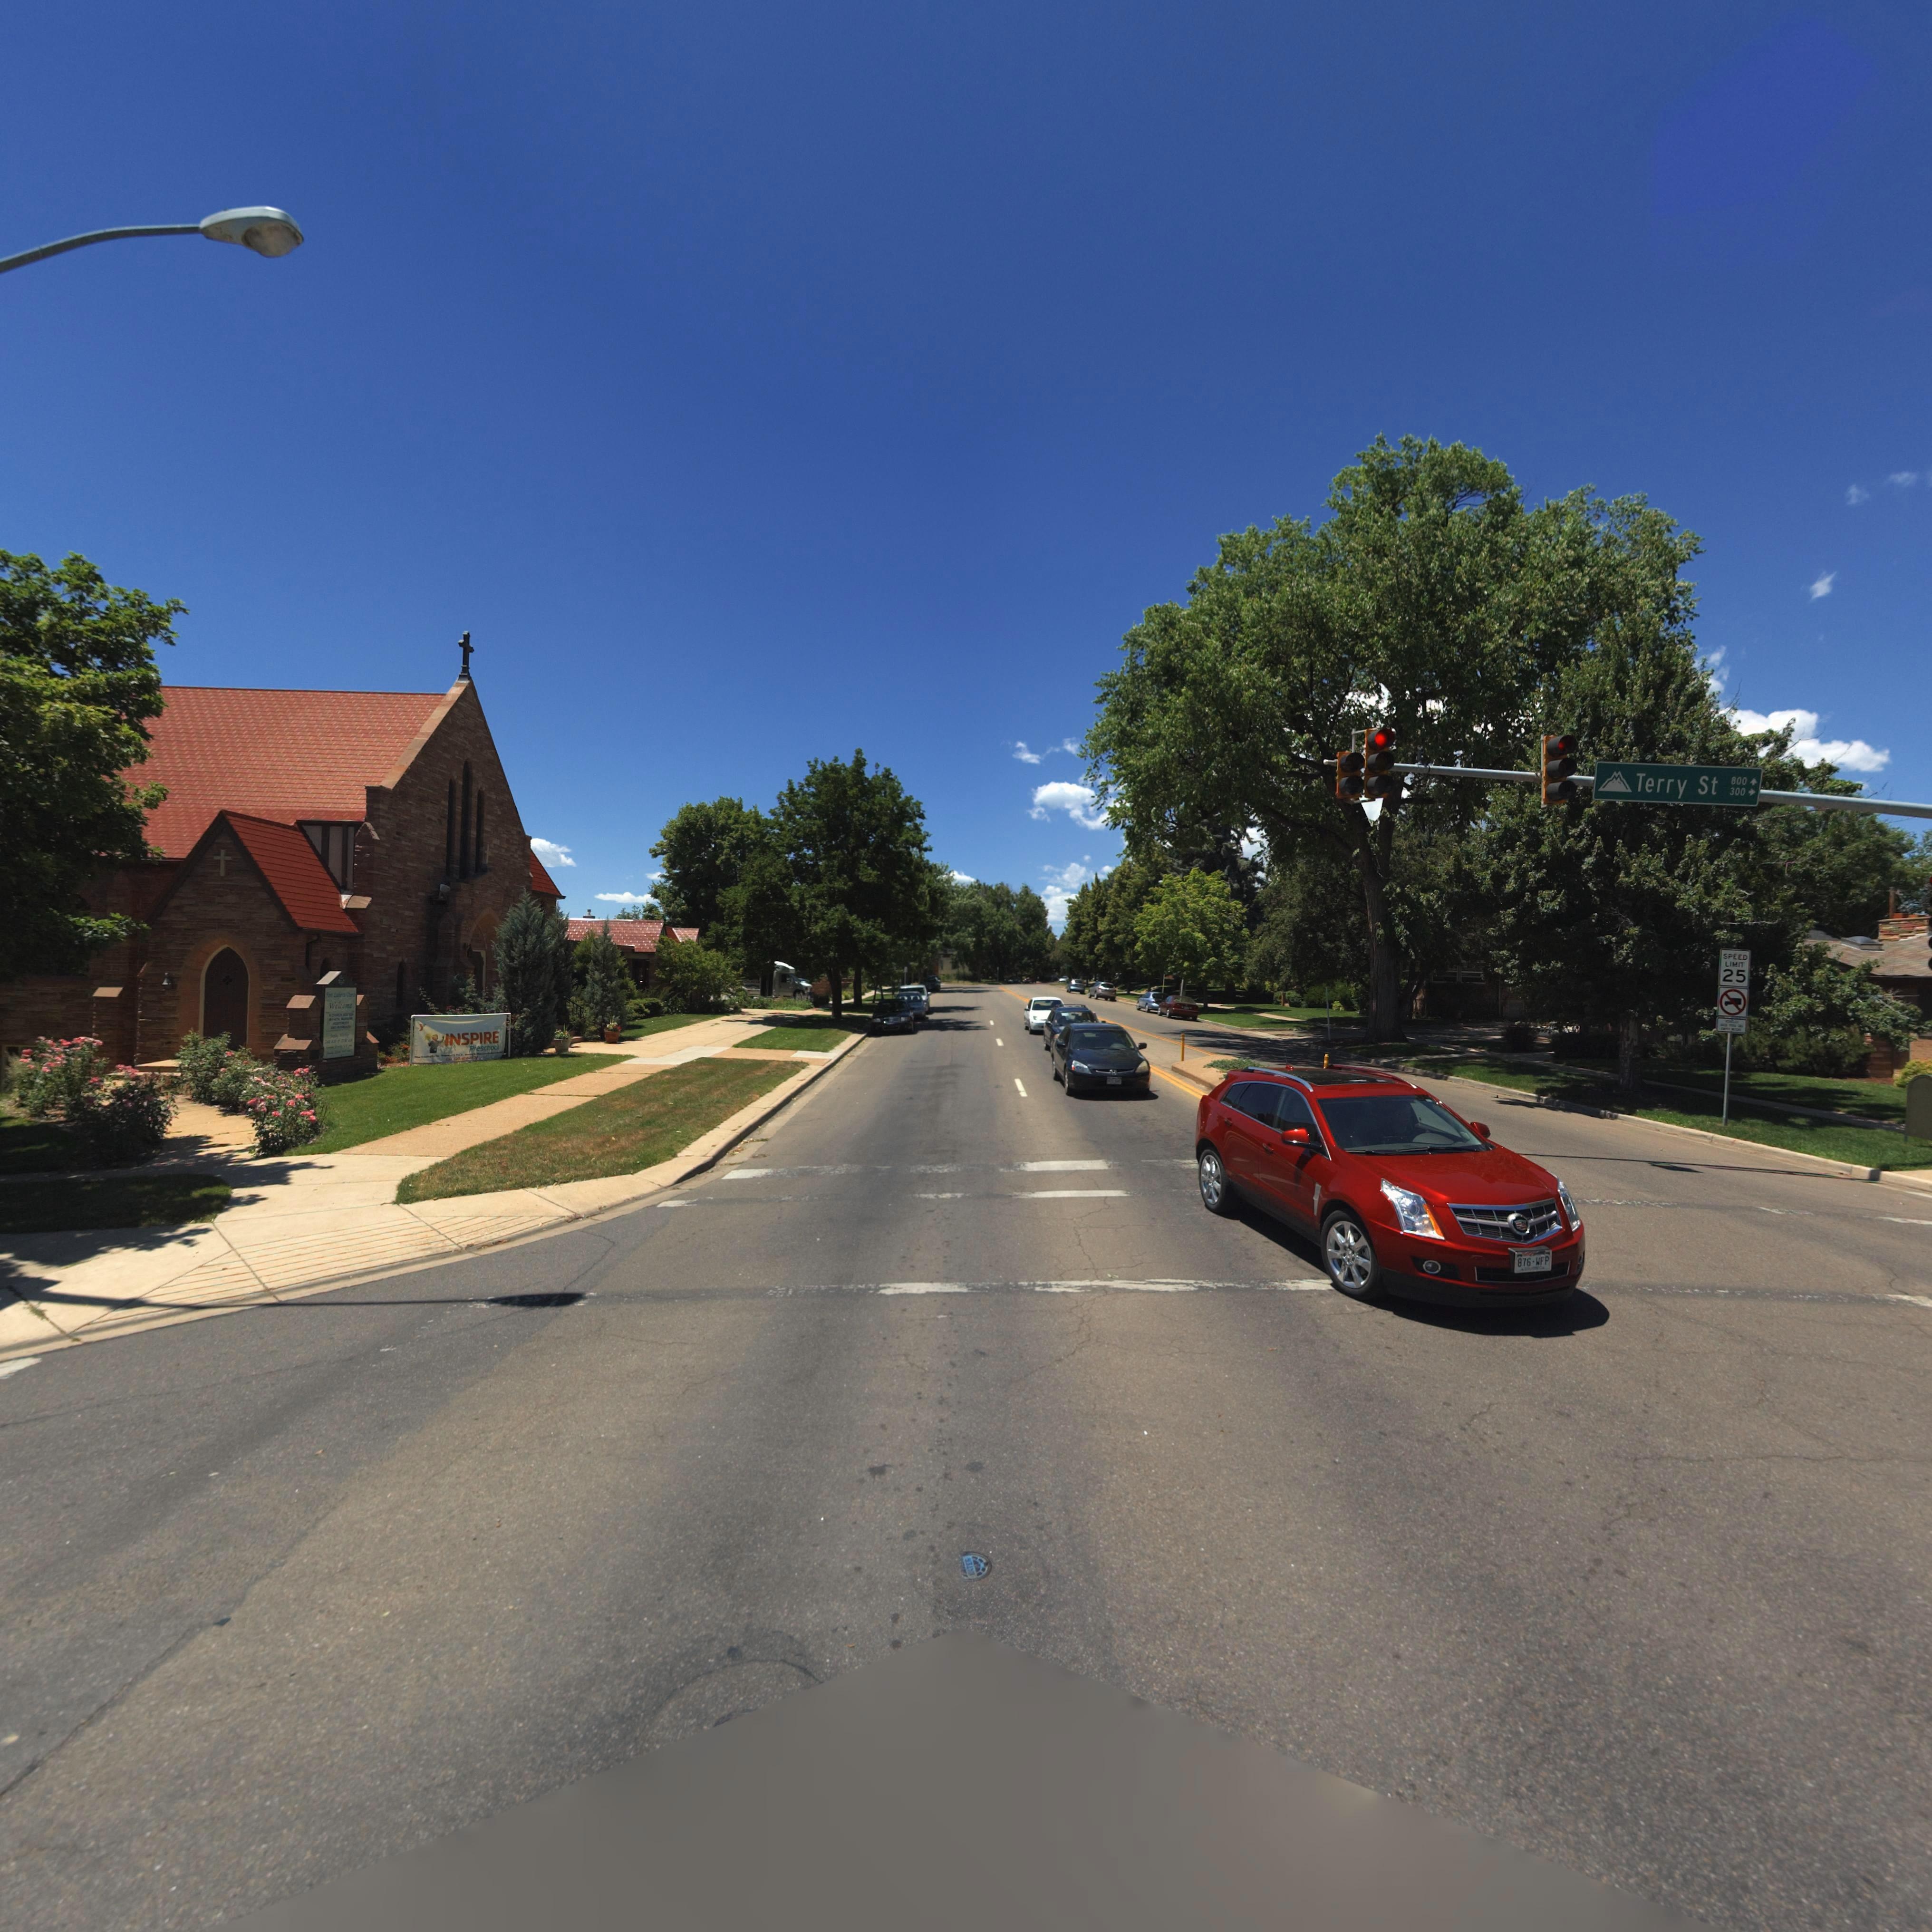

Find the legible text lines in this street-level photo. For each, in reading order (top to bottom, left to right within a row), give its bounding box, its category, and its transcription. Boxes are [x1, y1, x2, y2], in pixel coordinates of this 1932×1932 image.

[1636, 773, 1717, 799] StreetName: Terry St
[1730, 776, 1747, 785] StreetNumberRange: 800
[1729, 786, 1756, 797] StreetNumberRange: 300 ->
[325, 990, 356, 998] BusinessName: First Lutheran Church
[444, 1030, 499, 1046] BusinessName: INSPIRE
[470, 1044, 499, 1051] BusinessName: Preschool